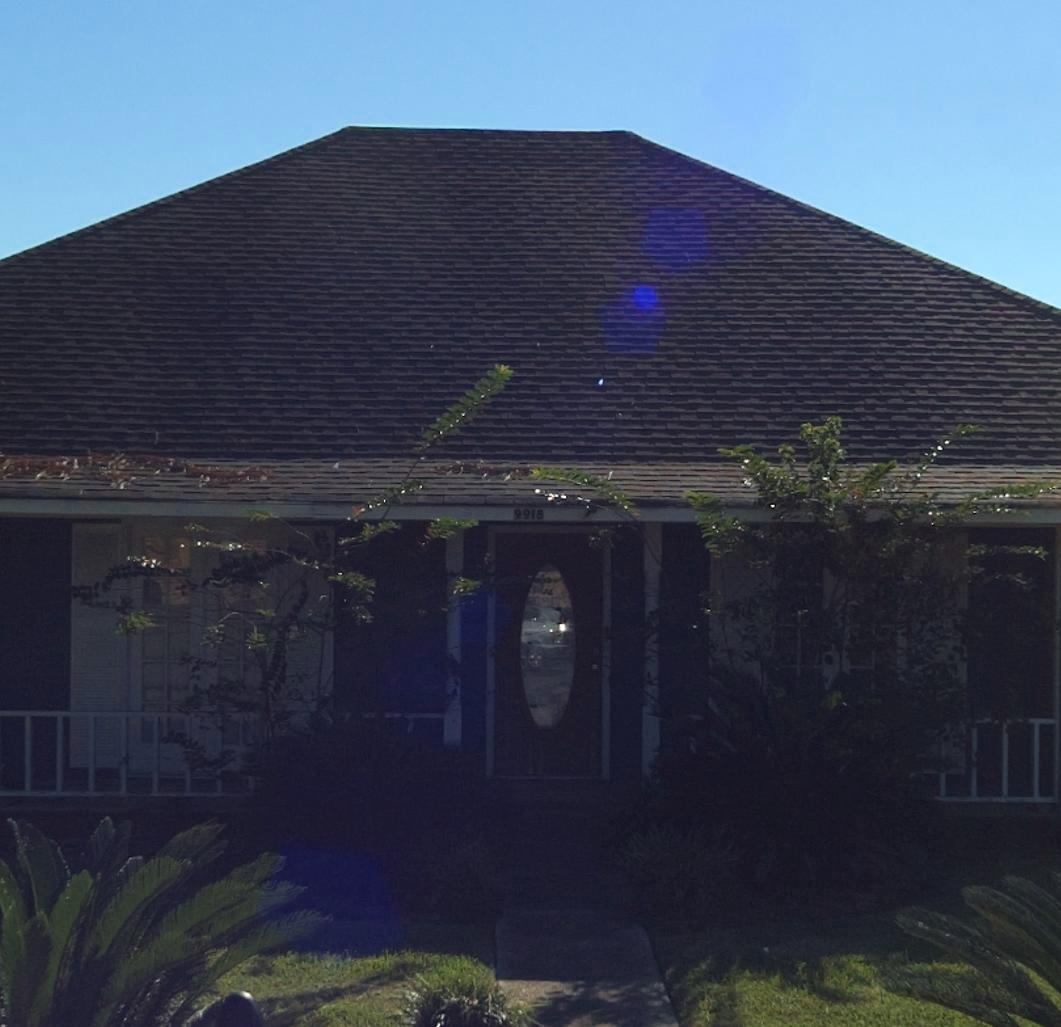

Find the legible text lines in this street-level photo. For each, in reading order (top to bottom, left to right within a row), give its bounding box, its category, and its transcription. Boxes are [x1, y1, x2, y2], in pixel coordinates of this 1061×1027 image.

[513, 508, 545, 520] StreetNumber: 9918